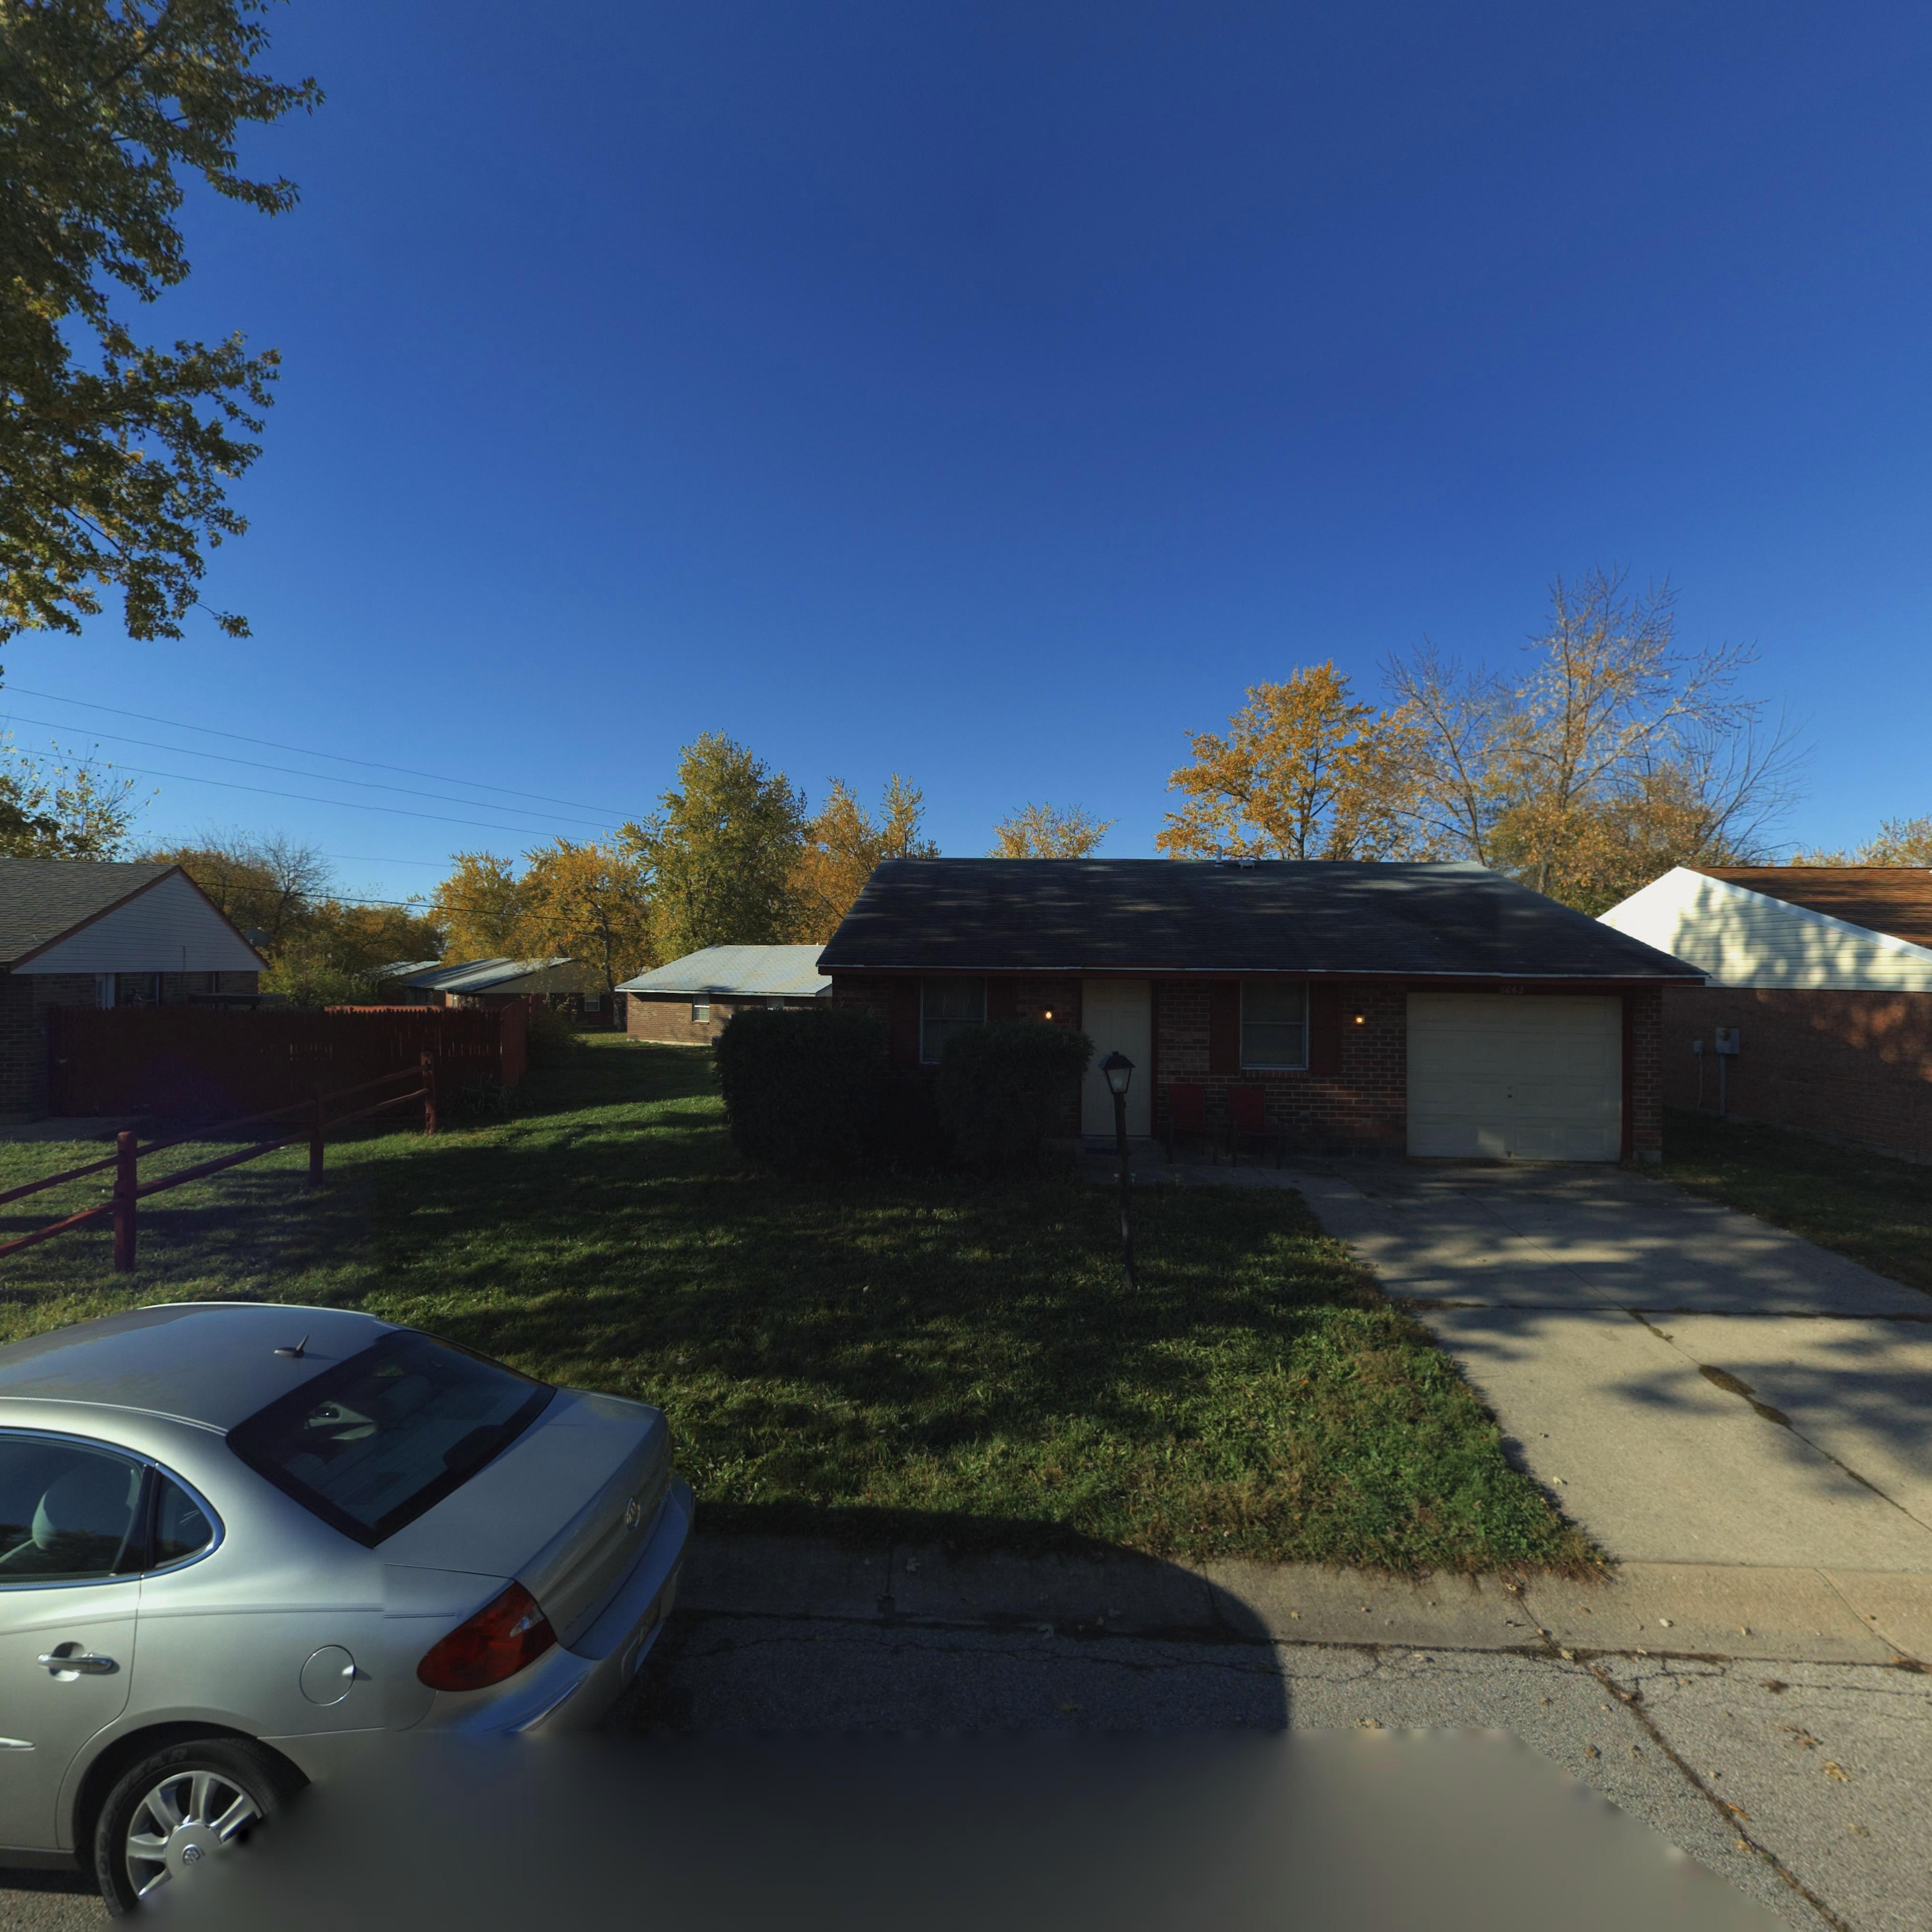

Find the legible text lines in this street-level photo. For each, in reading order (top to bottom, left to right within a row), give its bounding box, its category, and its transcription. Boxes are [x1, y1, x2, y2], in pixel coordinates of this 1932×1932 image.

[1499, 984, 1525, 995] StreetNumber: *062